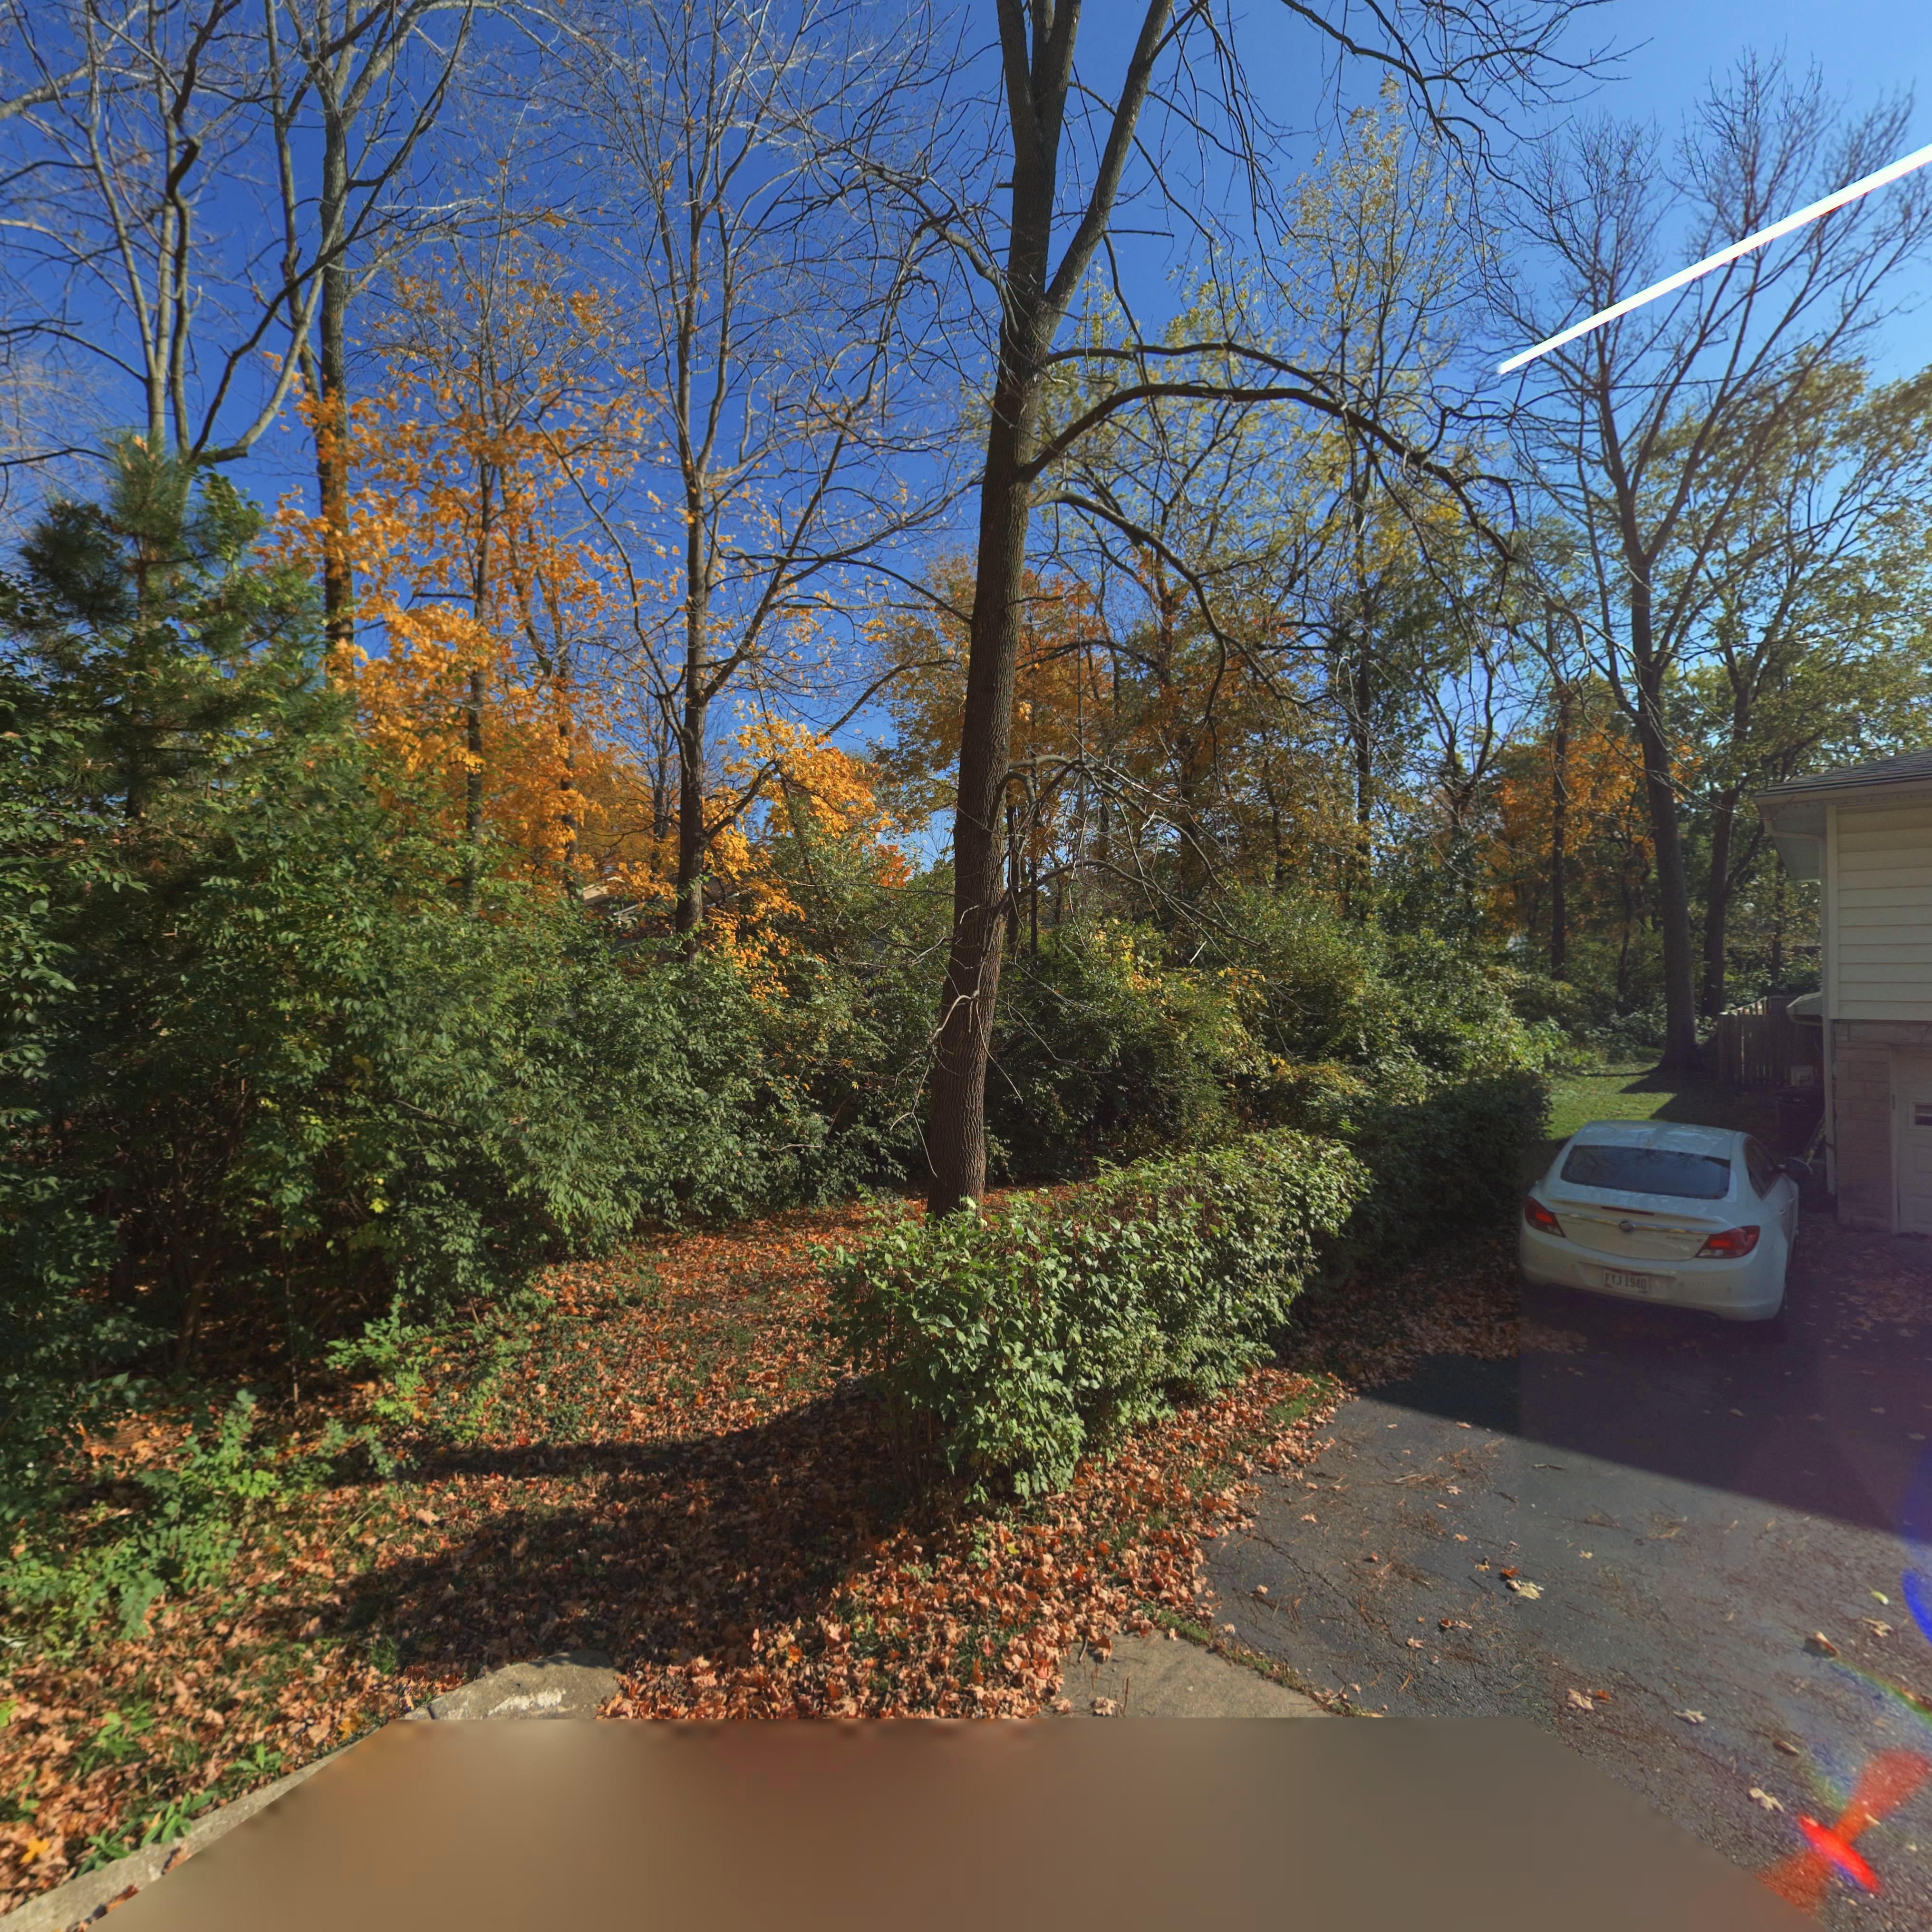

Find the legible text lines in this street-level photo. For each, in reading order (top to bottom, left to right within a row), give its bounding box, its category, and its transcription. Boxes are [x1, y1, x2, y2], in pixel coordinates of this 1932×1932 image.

[1604, 1272, 1647, 1291] None: FYJ*1940